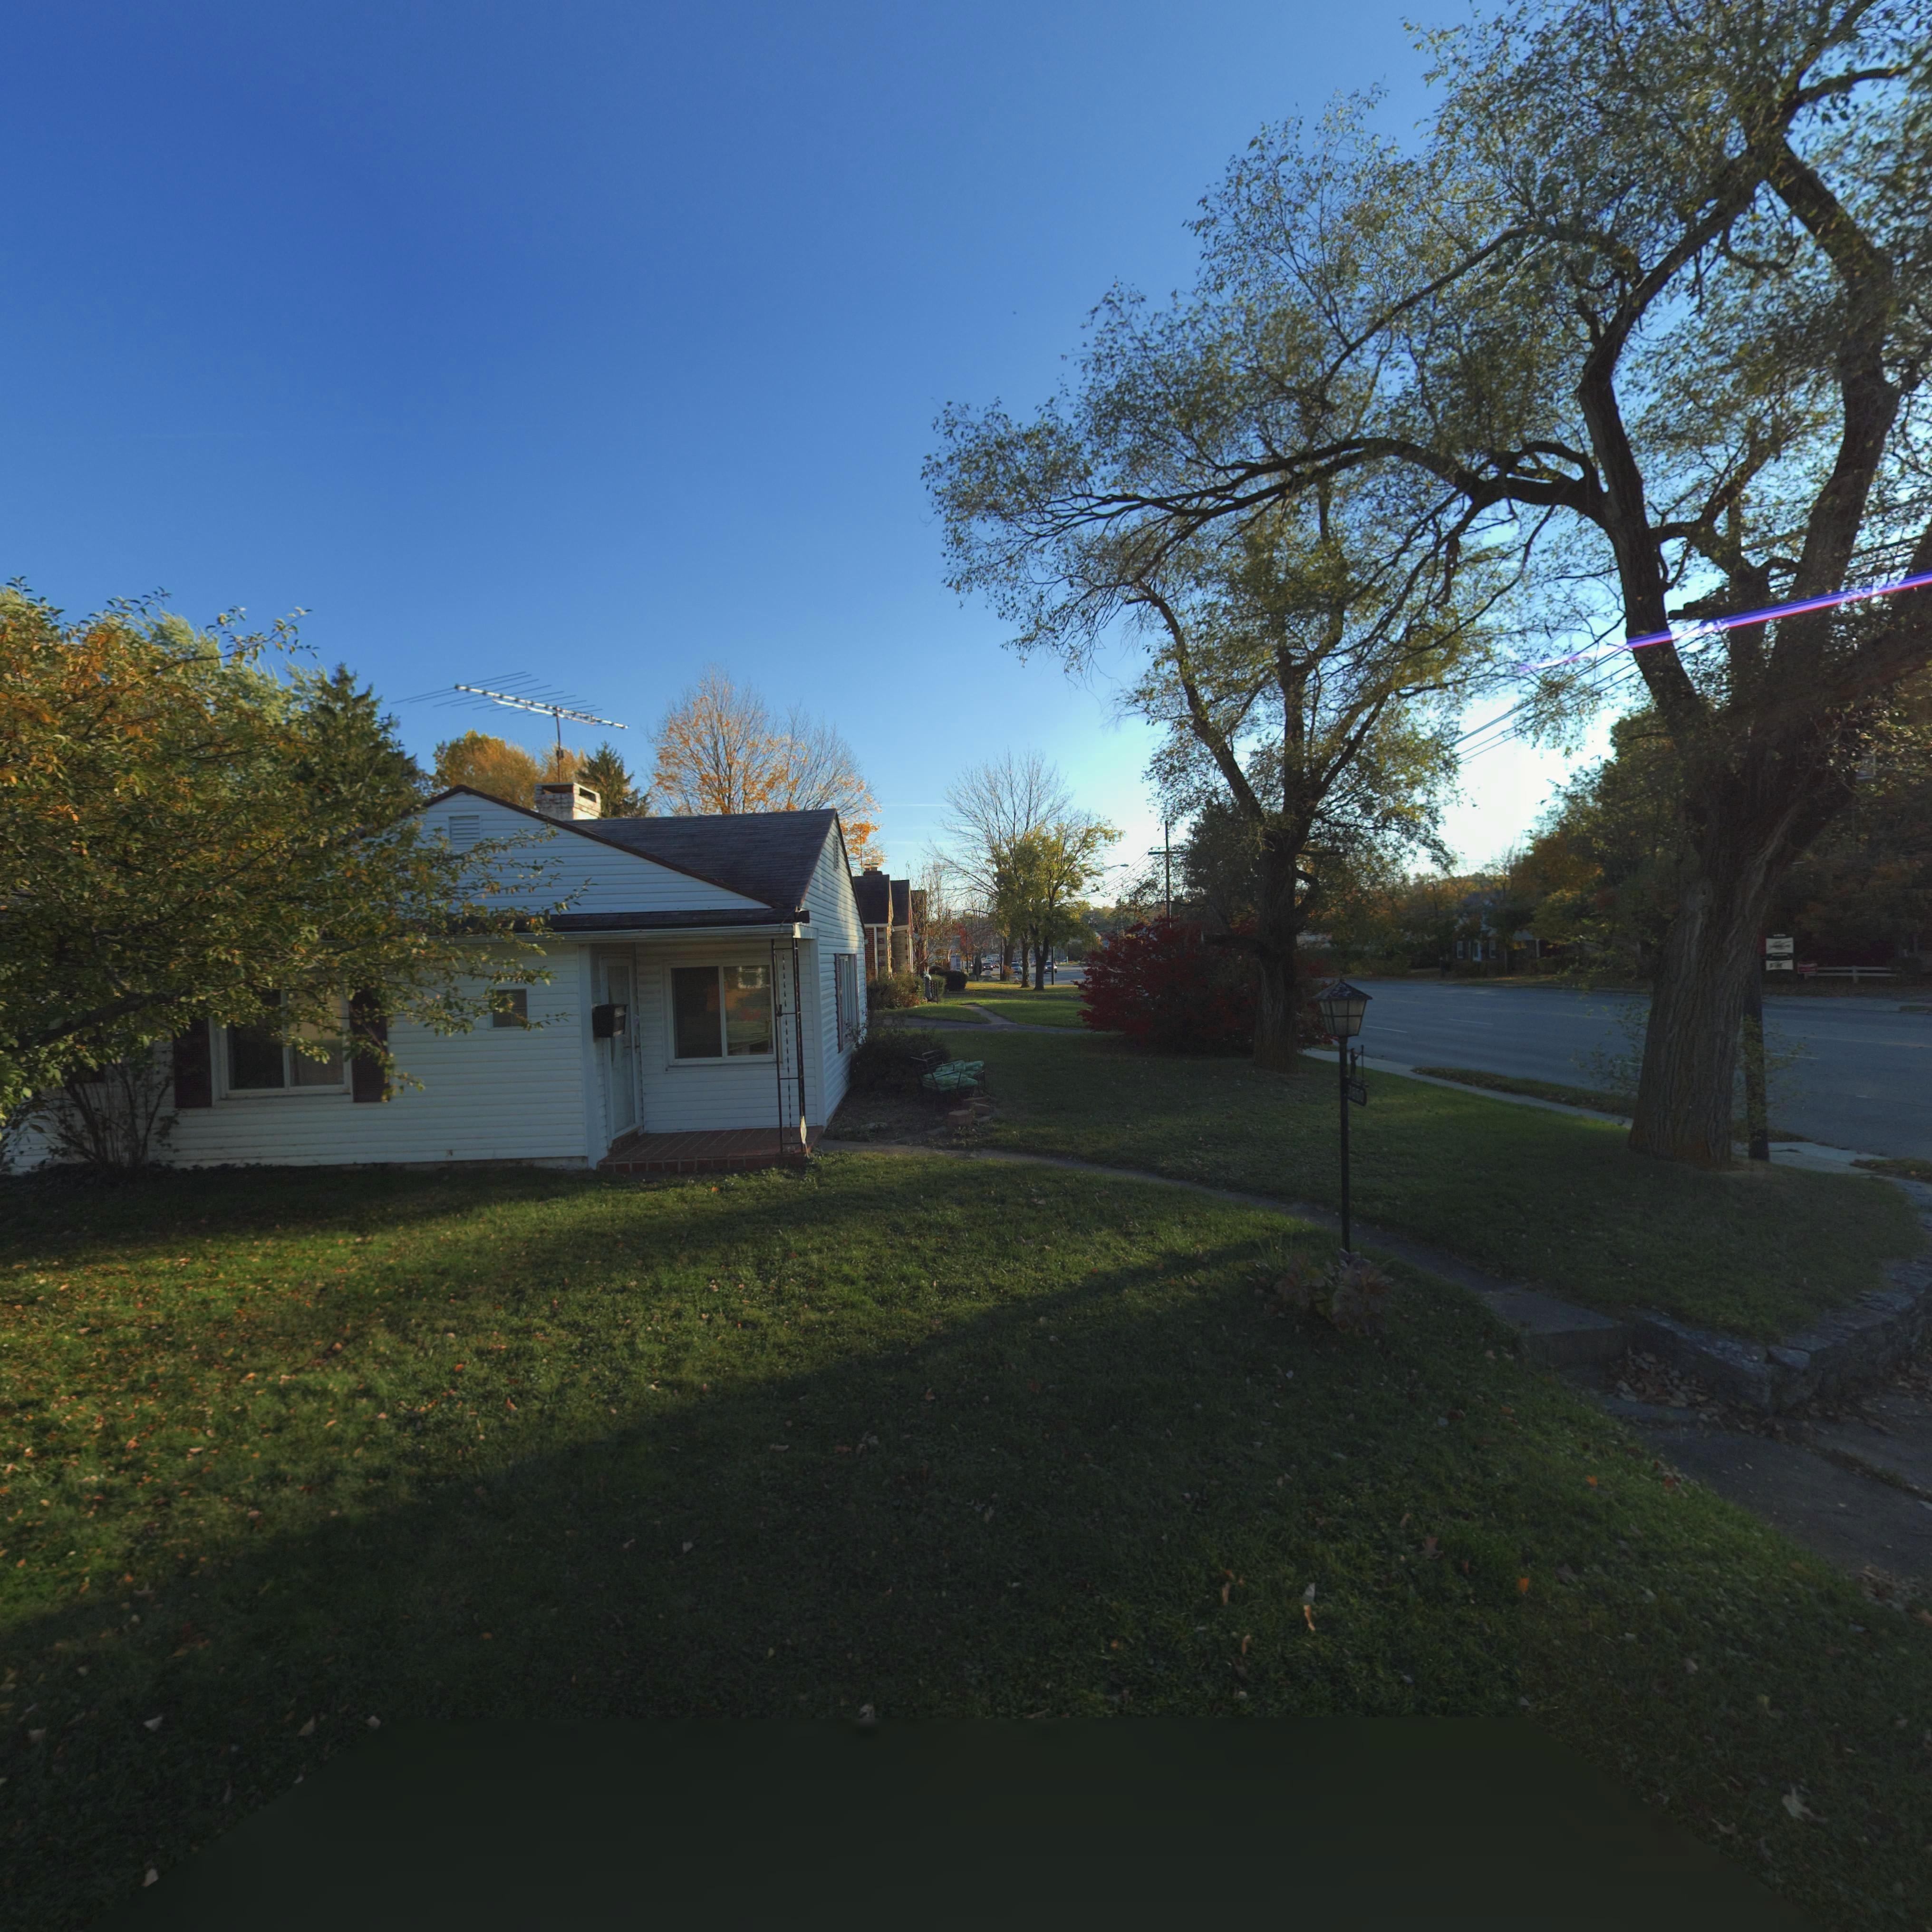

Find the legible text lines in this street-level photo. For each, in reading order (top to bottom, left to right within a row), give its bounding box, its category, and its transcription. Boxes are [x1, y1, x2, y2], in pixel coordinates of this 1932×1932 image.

[1347, 1084, 1364, 1104] StreetNumber: 3850